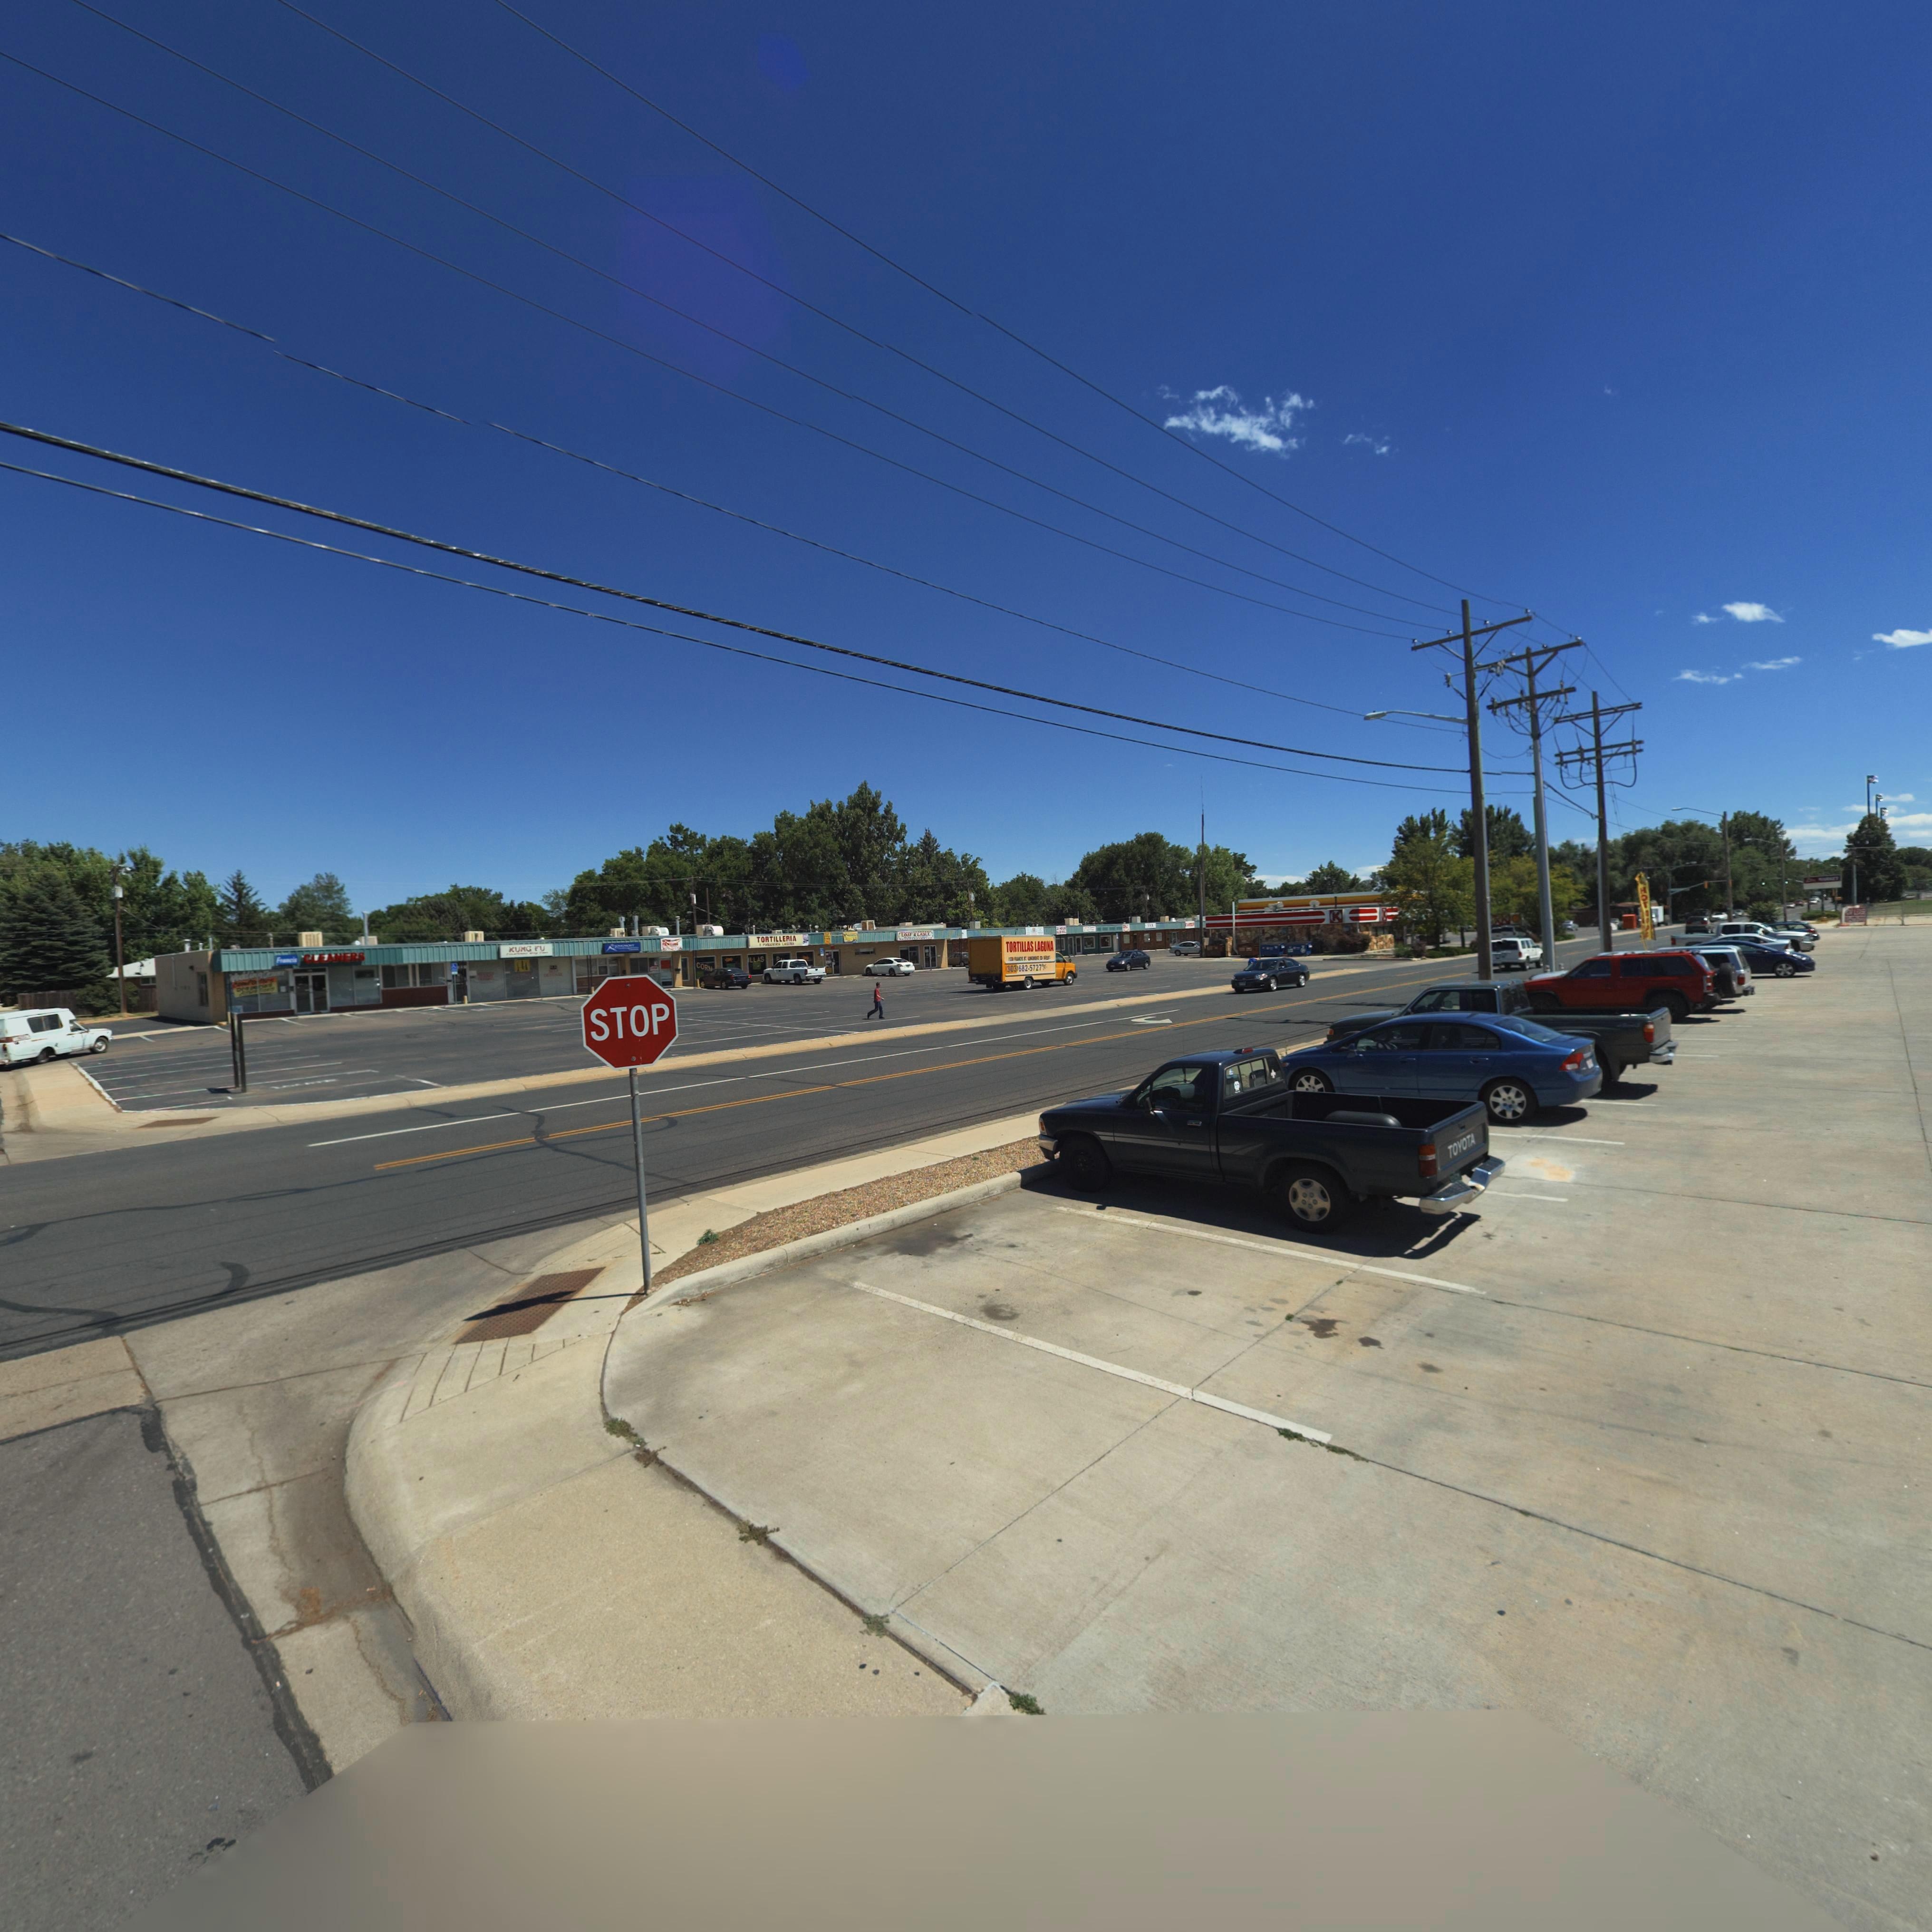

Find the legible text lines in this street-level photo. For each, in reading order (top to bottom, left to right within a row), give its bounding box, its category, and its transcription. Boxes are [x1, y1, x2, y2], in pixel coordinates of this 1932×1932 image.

[1147, 923, 1153, 927] BusinessName: TA*
[901, 932, 930, 937] BusinessName: LOAF * LA***
[756, 935, 796, 943] BusinessName: TORTILLERIA
[762, 942, 794, 947] BusinessName: P***** LAG***
[509, 945, 545, 952] BusinessName: KUNG FU
[276, 956, 298, 963] BusinessName: Francis
[303, 952, 366, 964] BusinessName: CLEANERS